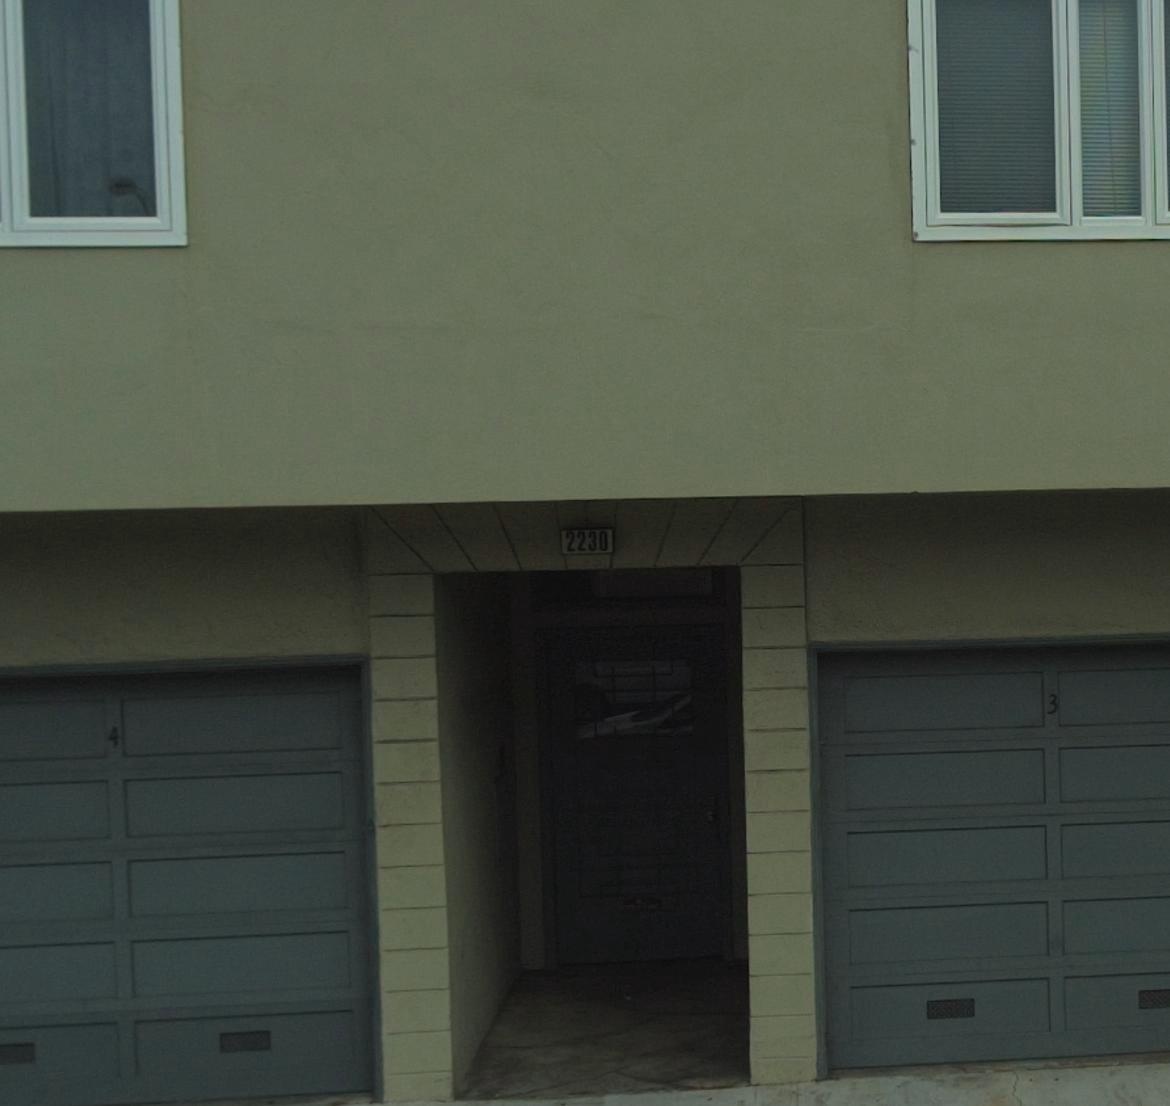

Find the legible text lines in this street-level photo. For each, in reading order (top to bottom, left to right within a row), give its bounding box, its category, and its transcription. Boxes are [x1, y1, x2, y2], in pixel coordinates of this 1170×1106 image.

[564, 529, 609, 553] StreetNumber: 2230
[1045, 692, 1060, 716] StreetNumber: 3
[105, 724, 122, 749] StreetNumber: 4